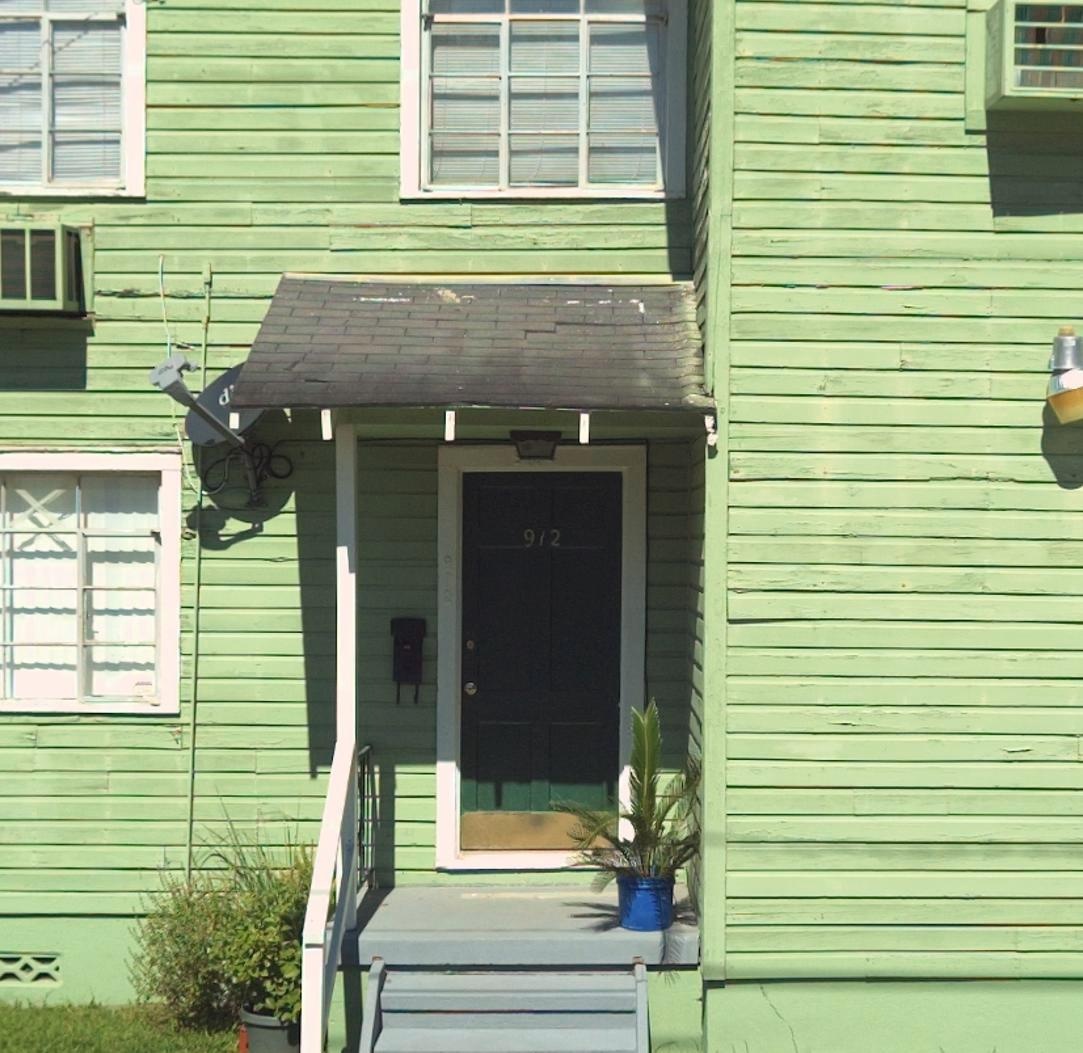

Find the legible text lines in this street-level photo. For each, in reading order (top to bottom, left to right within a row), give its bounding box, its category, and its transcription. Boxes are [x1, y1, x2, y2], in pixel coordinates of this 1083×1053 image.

[522, 527, 561, 548] StreetNumber: 9*2
[441, 554, 454, 603] StreetNumber: 972